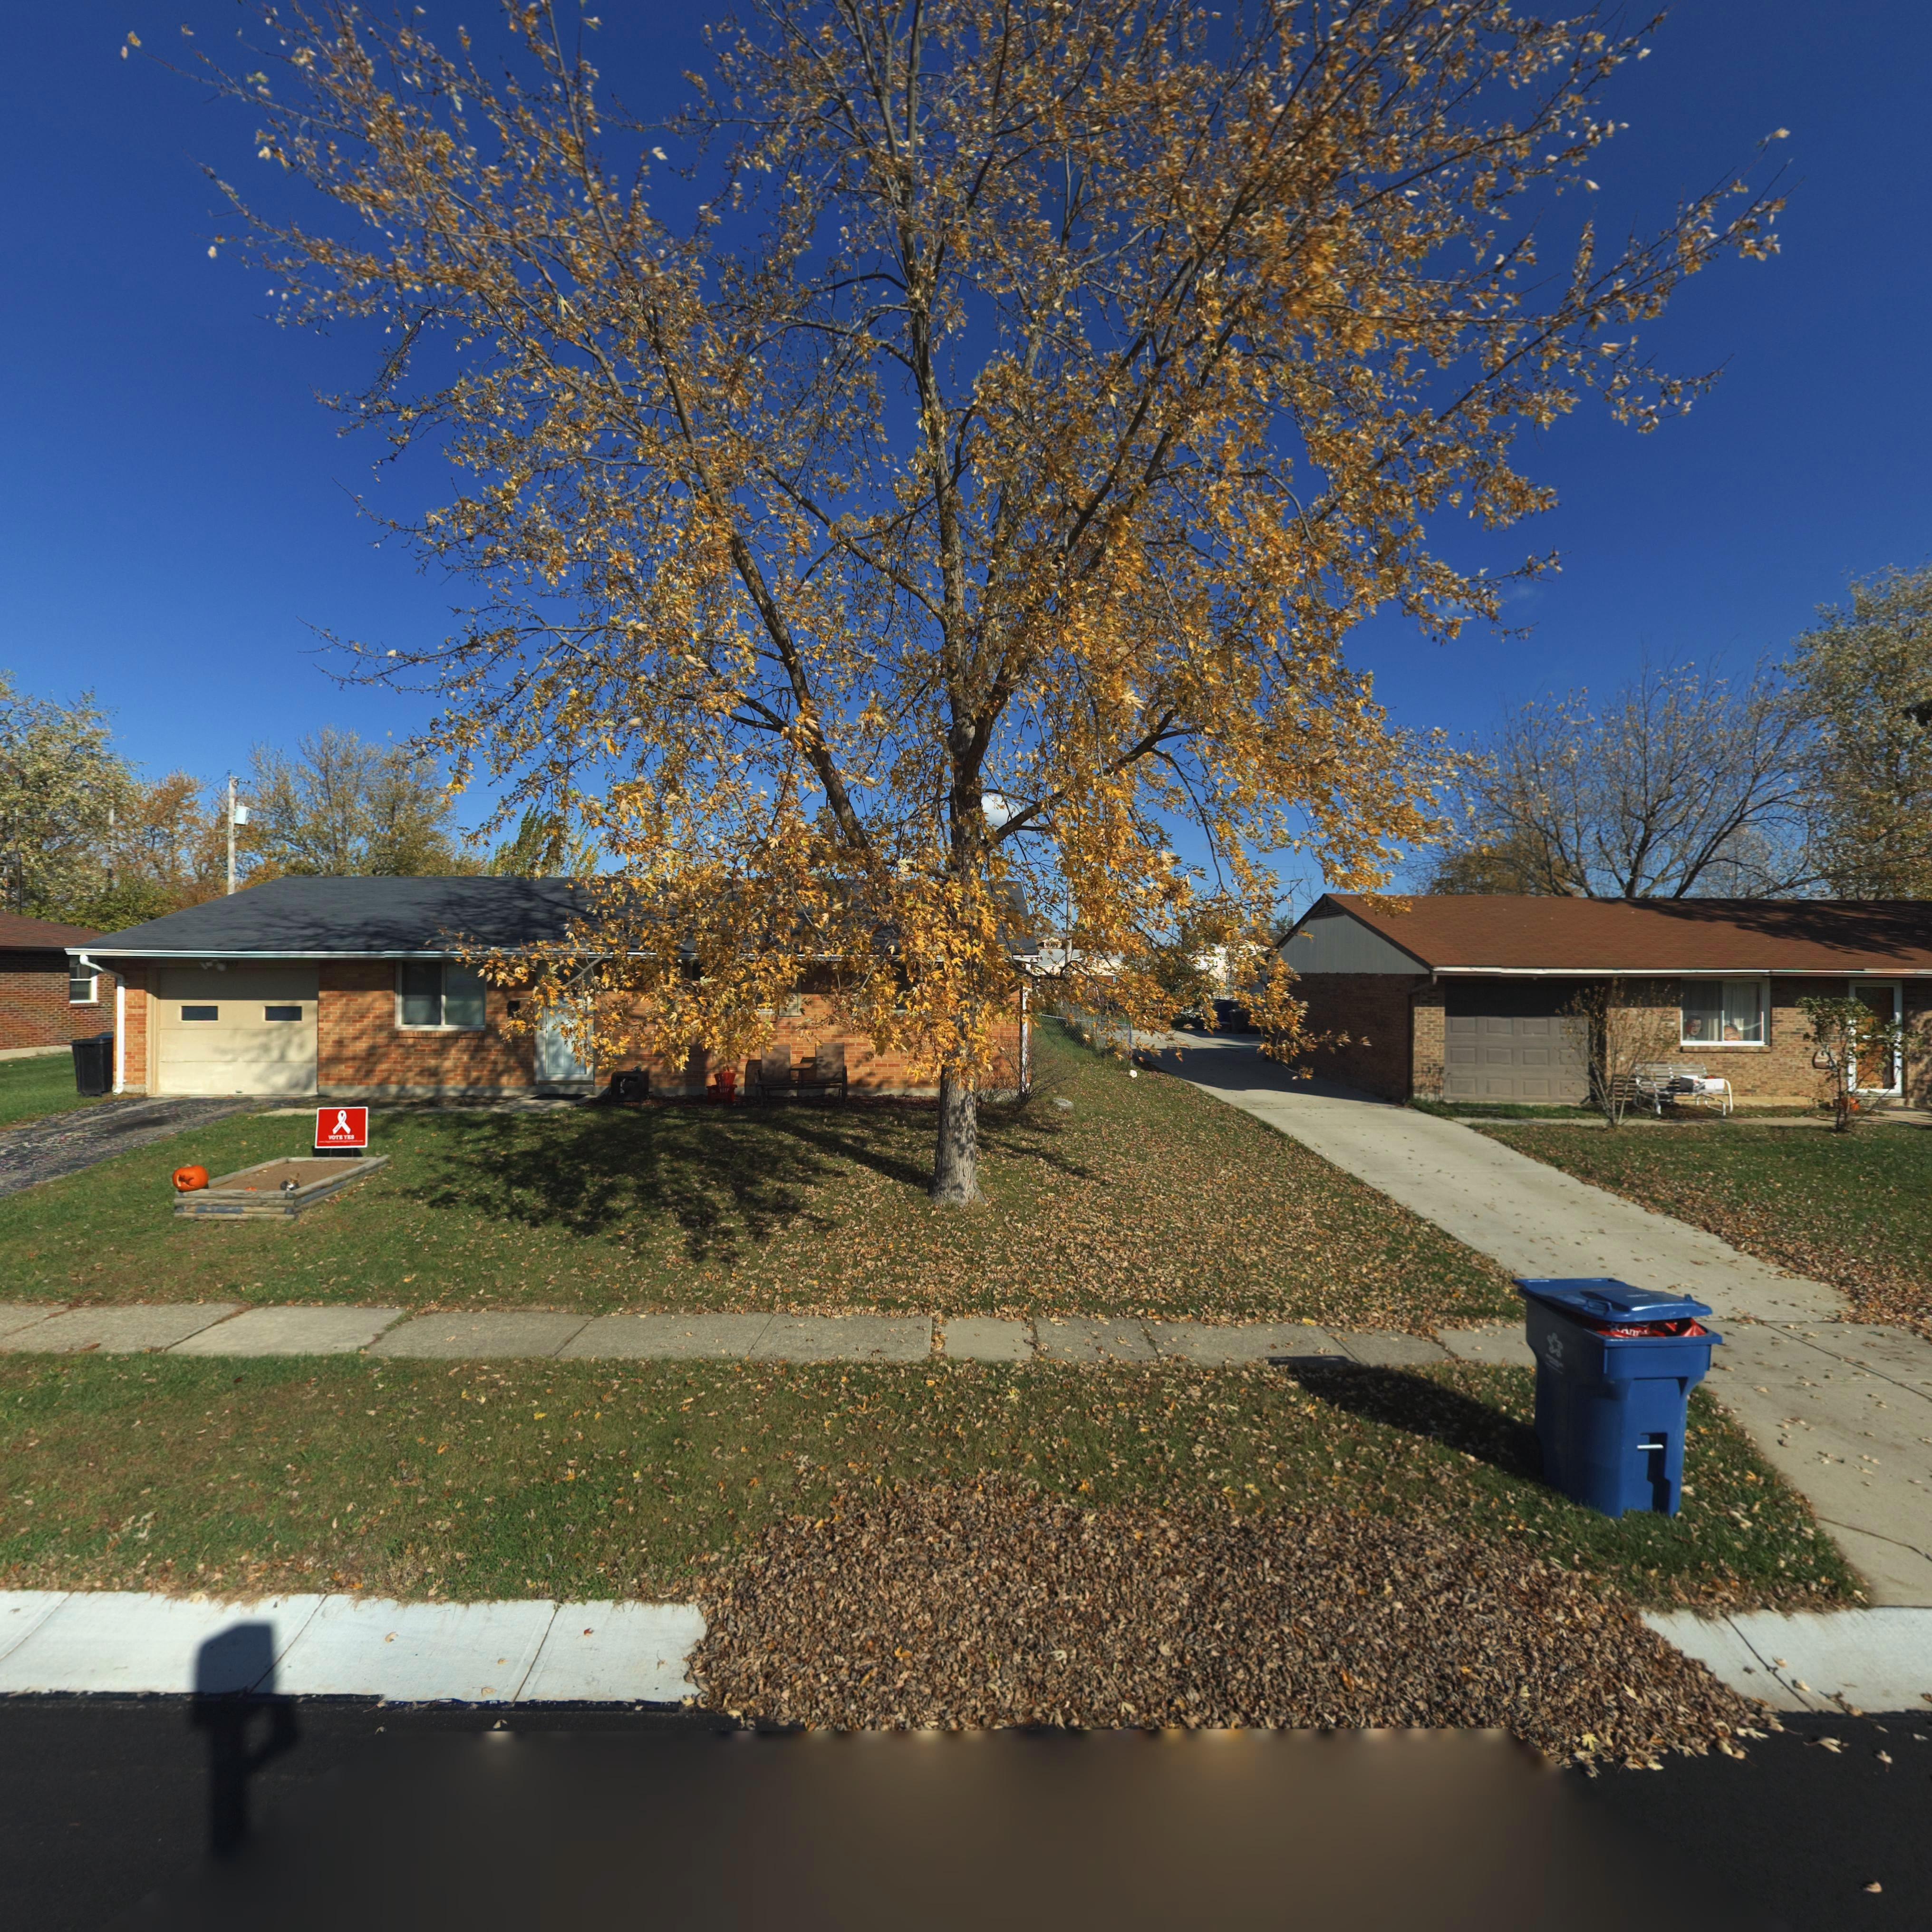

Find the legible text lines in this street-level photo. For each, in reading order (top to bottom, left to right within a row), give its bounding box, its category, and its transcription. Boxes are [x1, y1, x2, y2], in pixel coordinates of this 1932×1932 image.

[225, 960, 239, 967] StreetNumber: 959